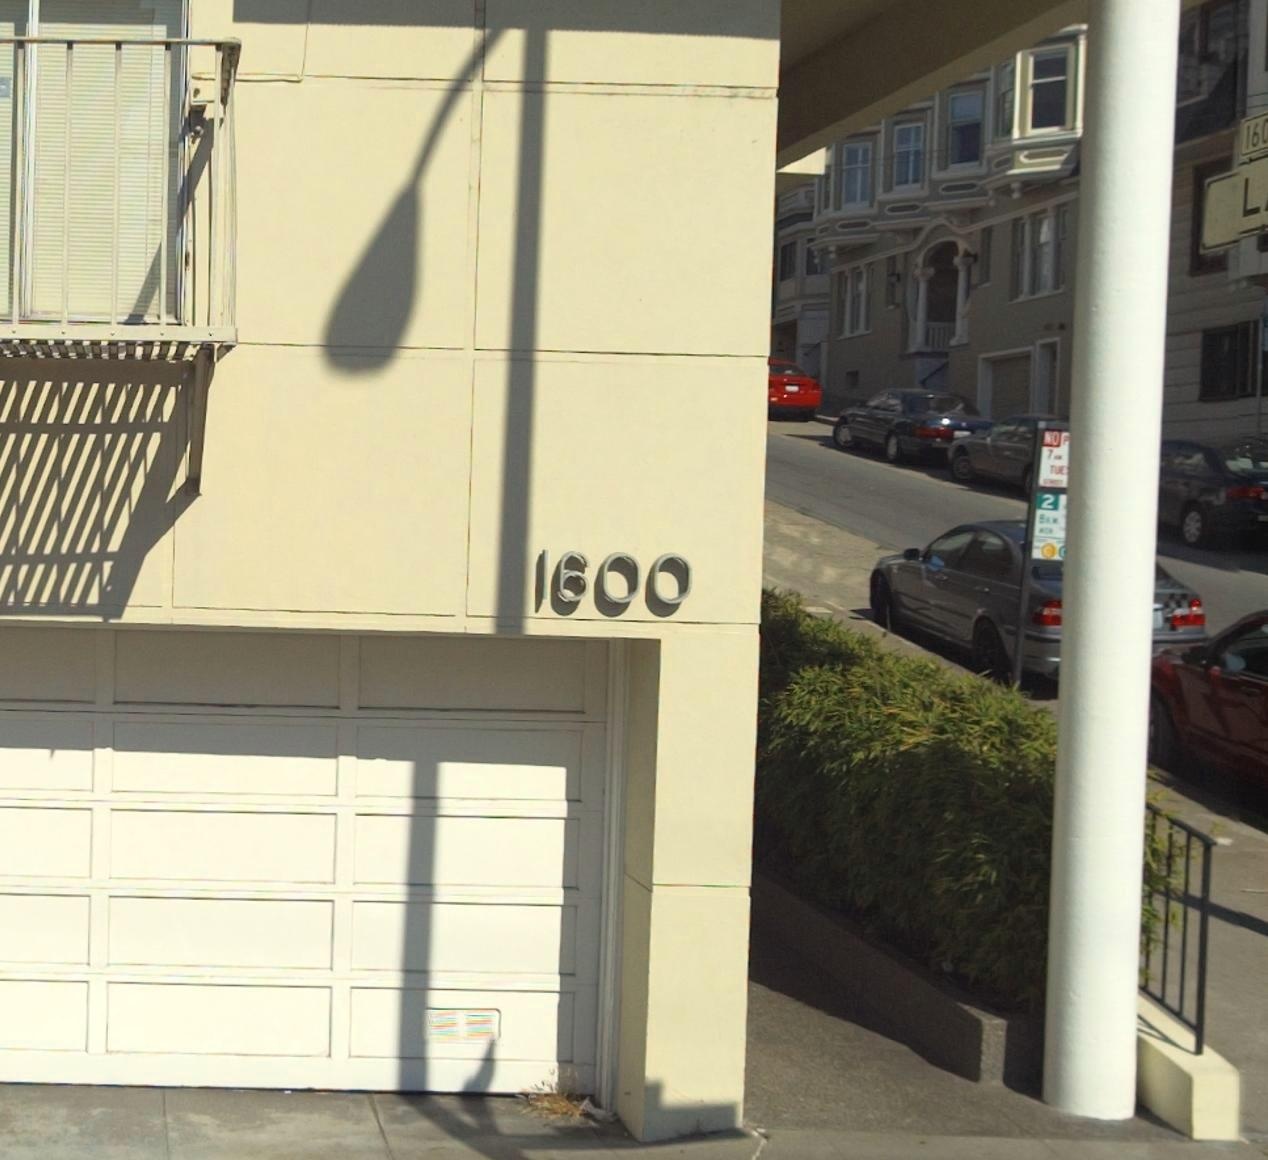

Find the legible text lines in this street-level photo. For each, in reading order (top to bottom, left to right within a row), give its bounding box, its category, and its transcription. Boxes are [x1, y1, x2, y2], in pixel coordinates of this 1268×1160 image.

[1245, 120, 1261, 152] None: 16
[1241, 176, 1262, 221] None: L
[1044, 431, 1060, 446] None: NO
[1046, 448, 1055, 460] None: 7
[1048, 464, 1069, 477] None: TUE
[1039, 493, 1056, 509] None: 2
[1038, 513, 1060, 524] None: 8A M
[540, 547, 694, 606] StreetNumber: 1600